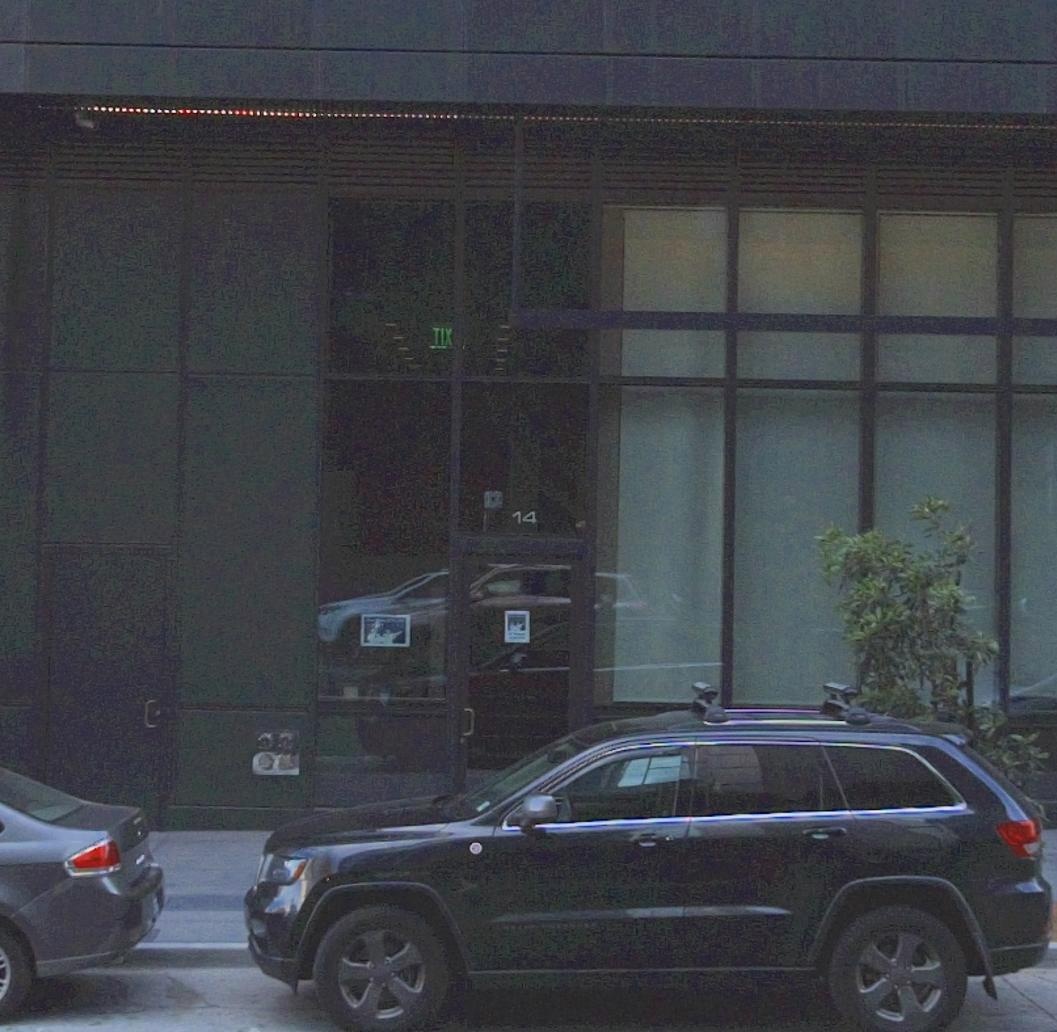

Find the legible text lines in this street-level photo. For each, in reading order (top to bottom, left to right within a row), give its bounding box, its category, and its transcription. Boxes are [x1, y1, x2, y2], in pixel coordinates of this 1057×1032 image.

[432, 326, 454, 347] None: TIX
[511, 509, 538, 525] StreetNumber: 14